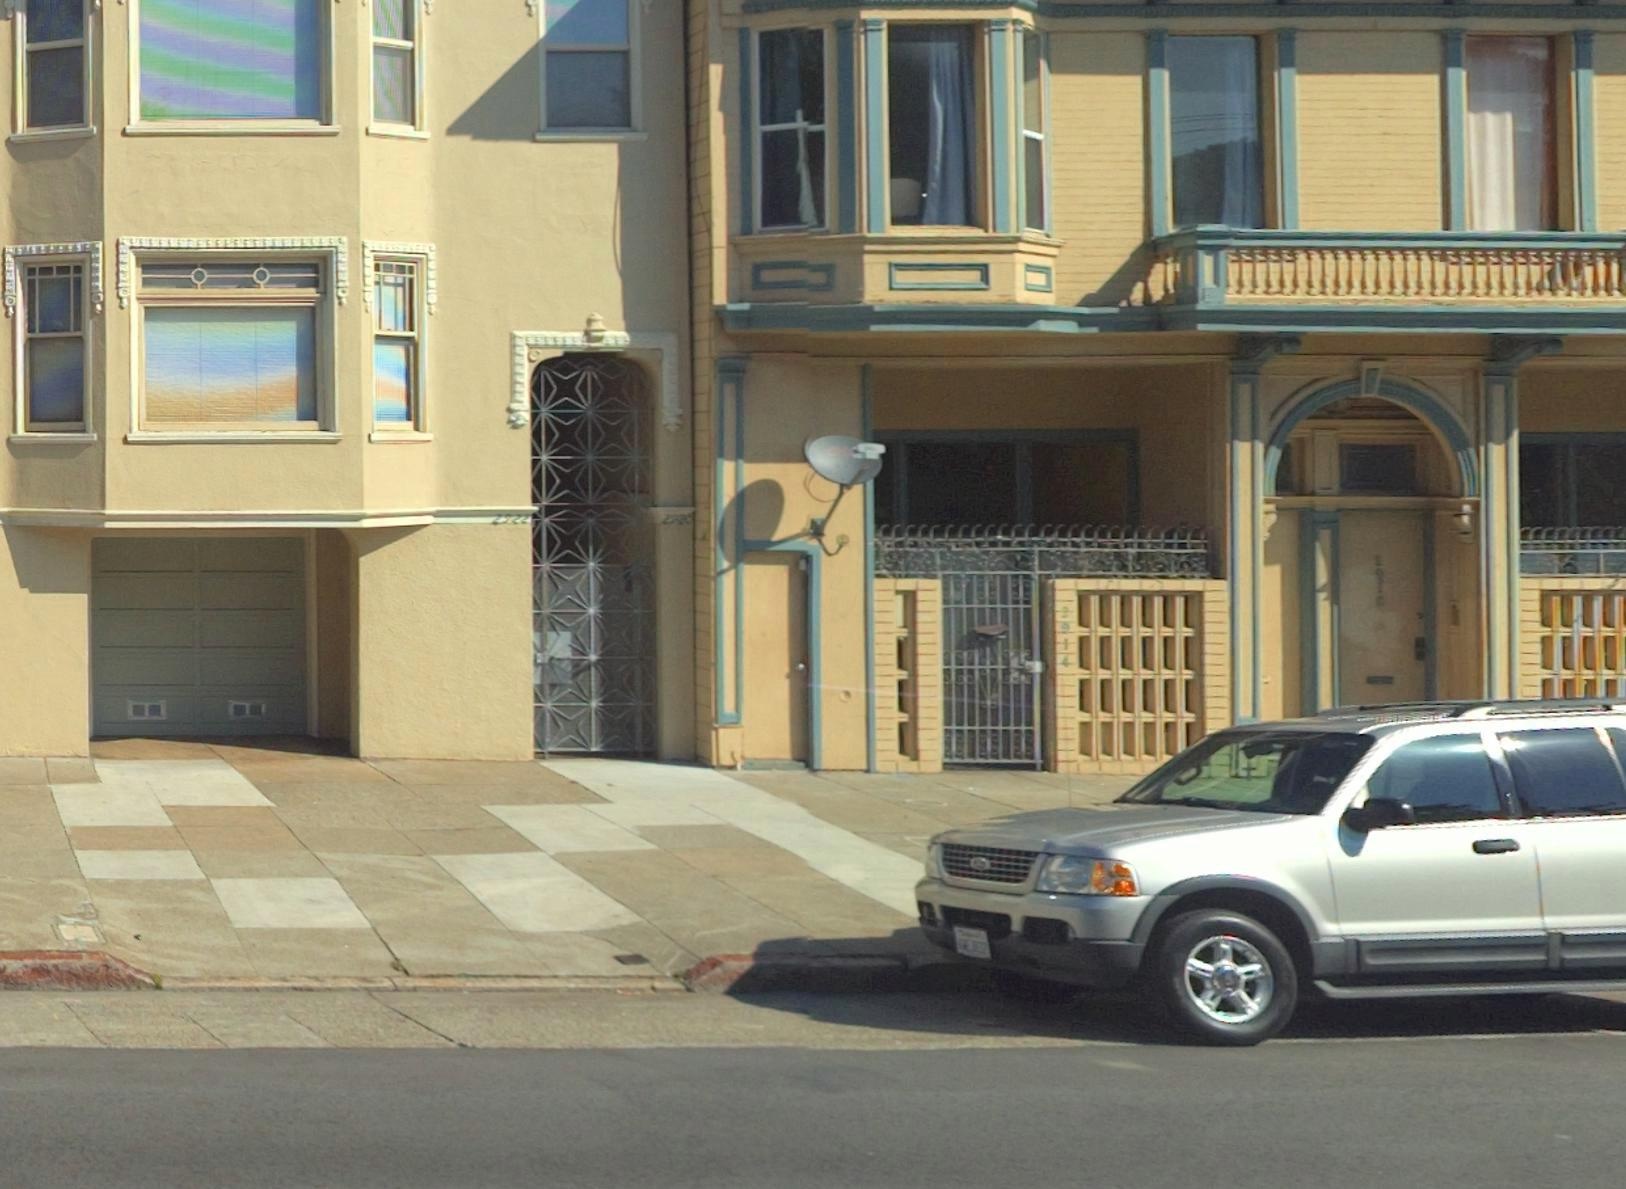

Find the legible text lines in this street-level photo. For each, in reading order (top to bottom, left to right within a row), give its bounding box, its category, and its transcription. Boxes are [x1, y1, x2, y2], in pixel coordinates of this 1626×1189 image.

[491, 509, 532, 526] StreetNumber: 2922
[659, 509, 695, 524] StreetNumber: 2**0
[1372, 550, 1386, 608] StreetNumber: 19*0
[1058, 605, 1073, 668] StreetNumber: 2914